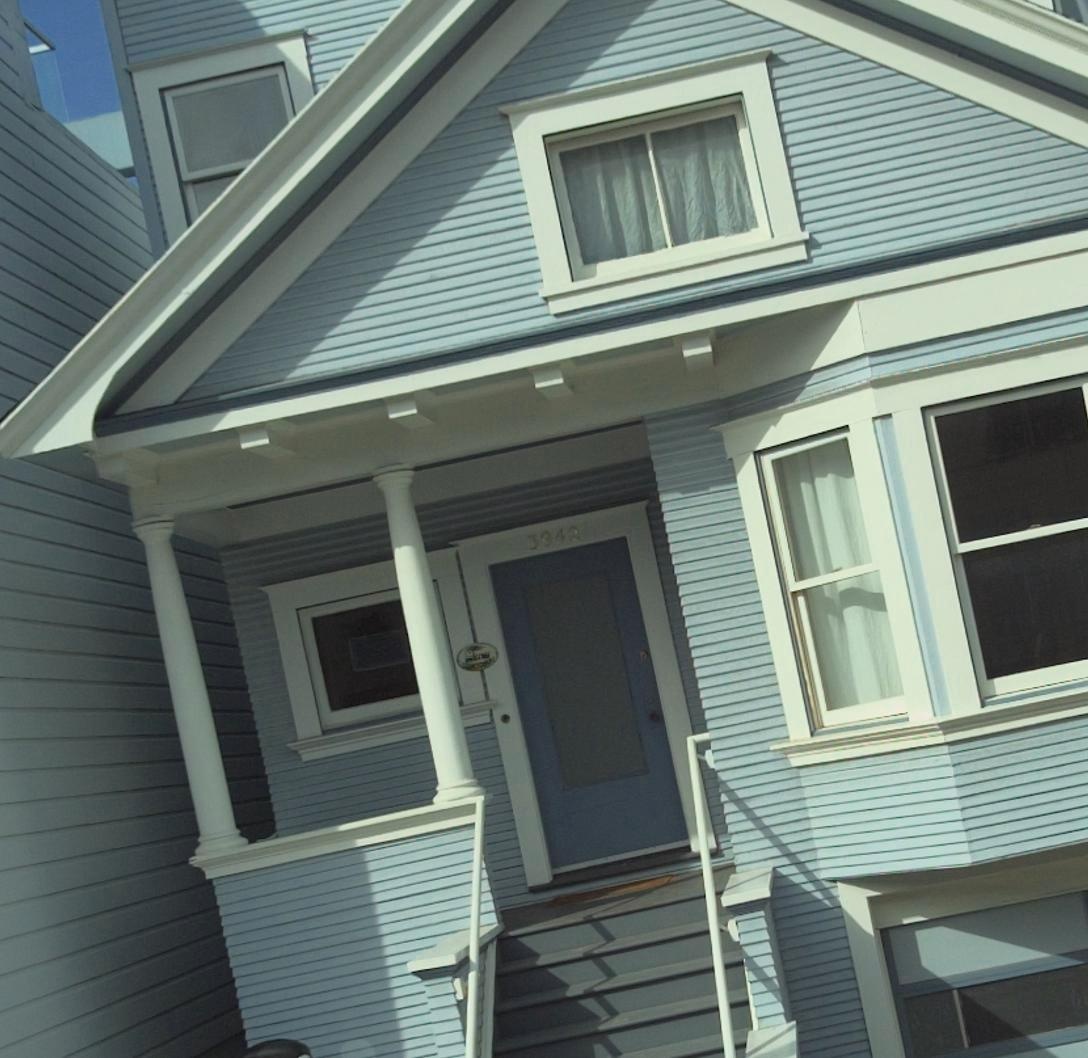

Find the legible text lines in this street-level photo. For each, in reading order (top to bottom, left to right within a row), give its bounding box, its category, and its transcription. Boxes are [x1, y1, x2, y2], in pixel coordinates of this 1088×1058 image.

[524, 523, 584, 552] StreetNumber: 3942